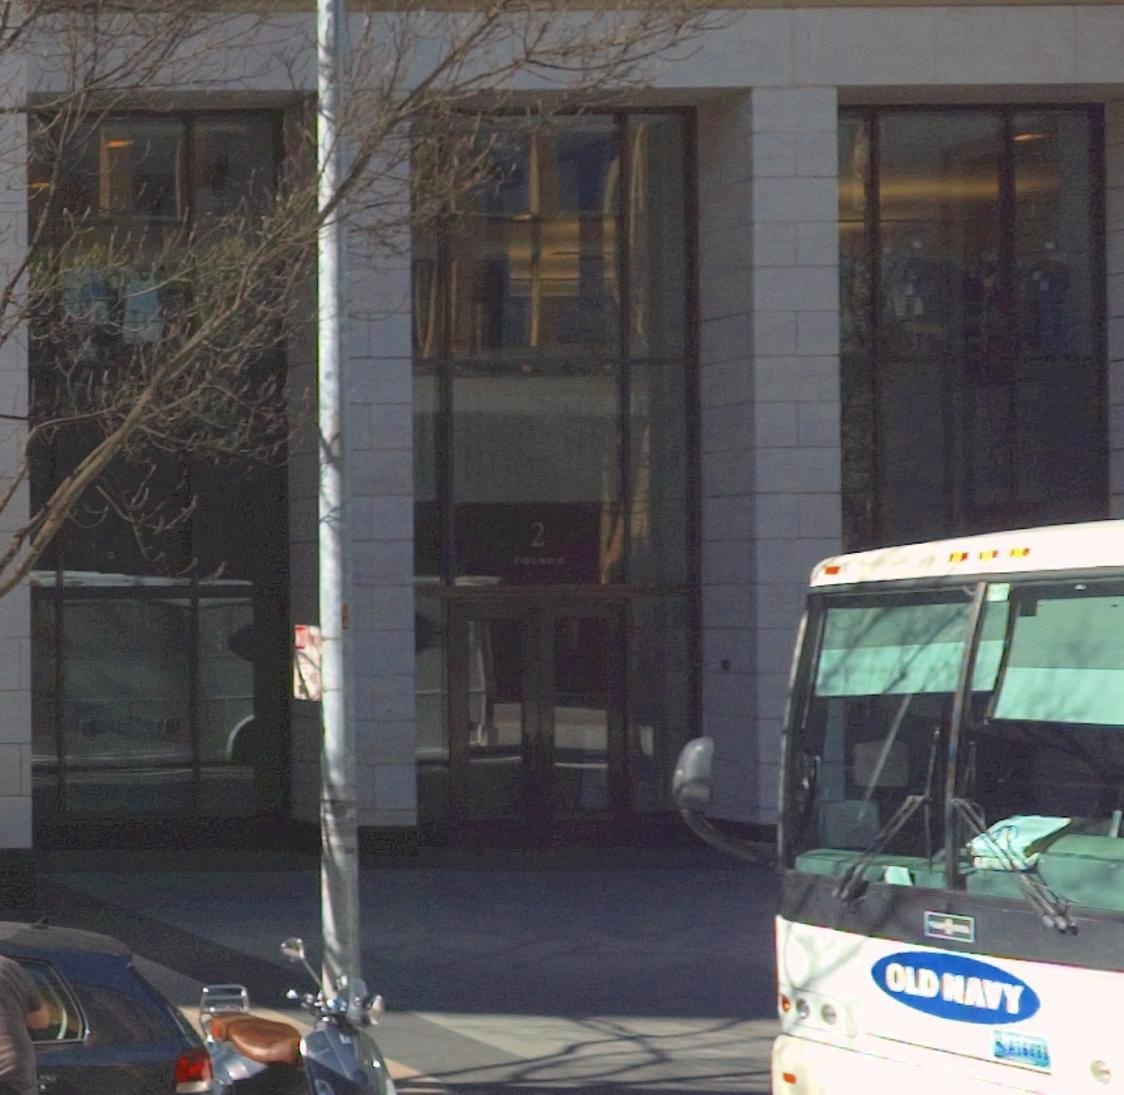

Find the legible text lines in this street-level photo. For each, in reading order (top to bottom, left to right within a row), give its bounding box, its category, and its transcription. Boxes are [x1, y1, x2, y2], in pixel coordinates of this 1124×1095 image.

[527, 520, 548, 550] StreetNumber: 2
[883, 960, 1026, 1017] None: OLD NAVY